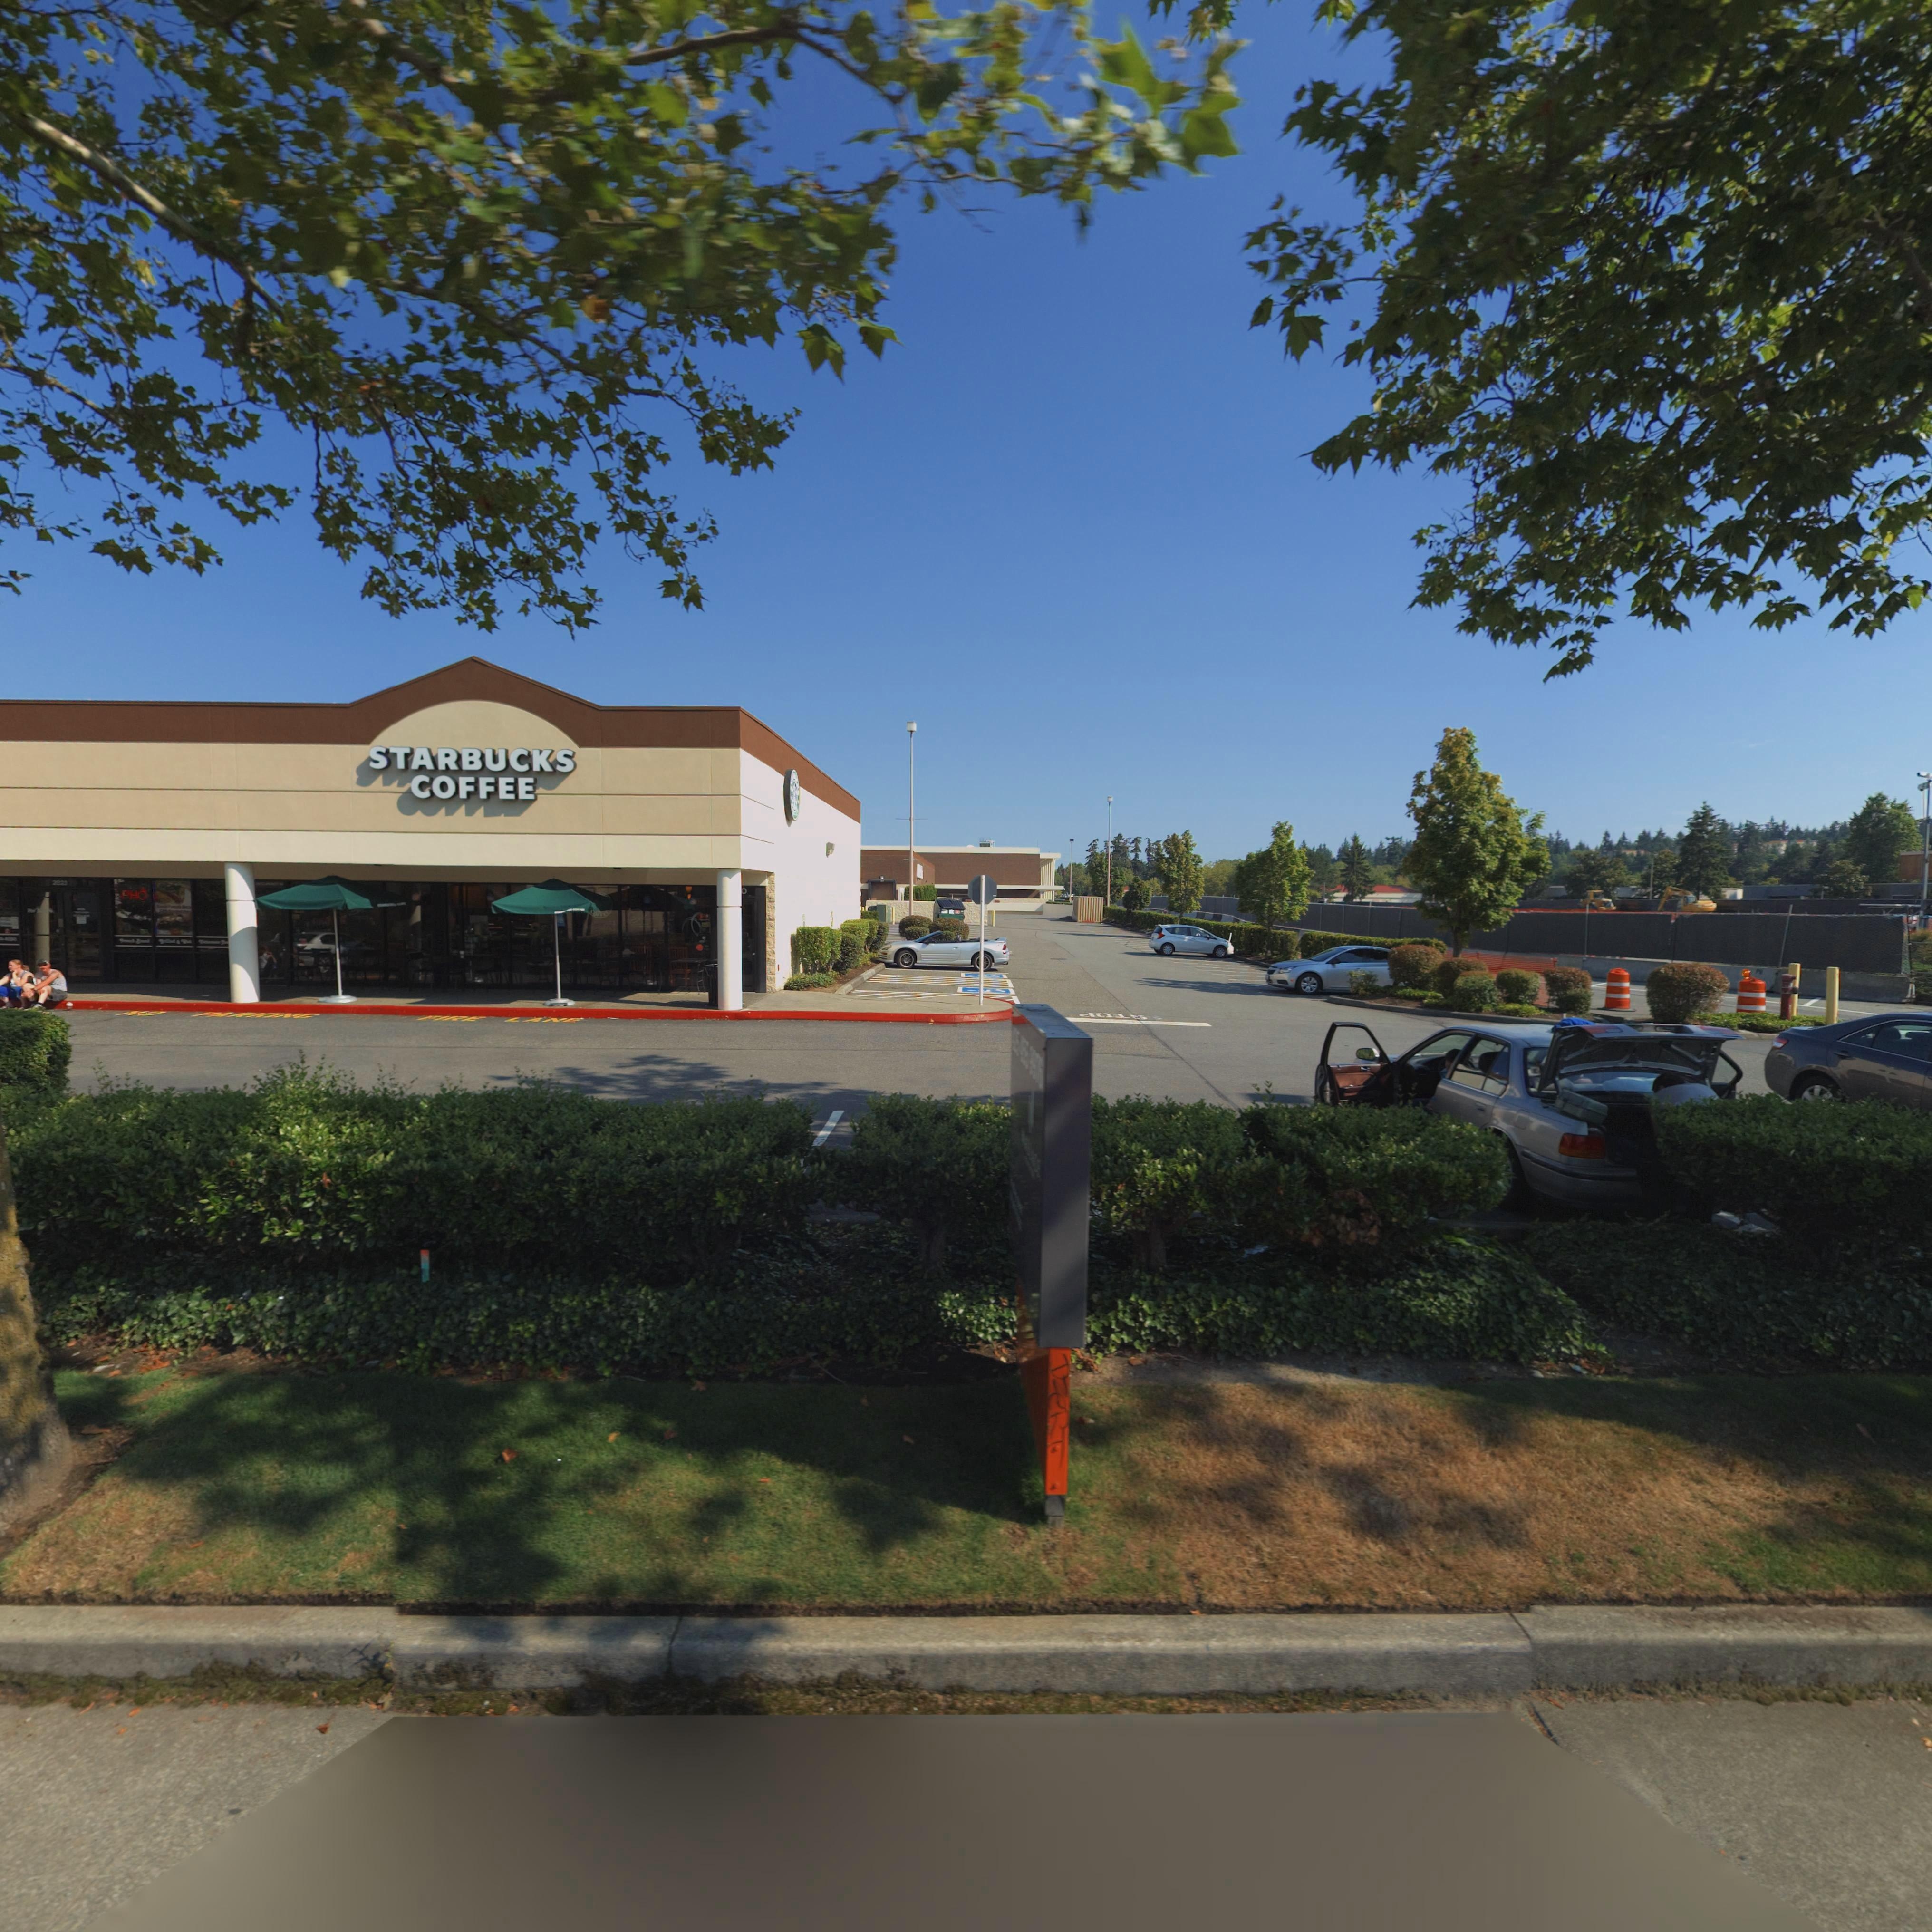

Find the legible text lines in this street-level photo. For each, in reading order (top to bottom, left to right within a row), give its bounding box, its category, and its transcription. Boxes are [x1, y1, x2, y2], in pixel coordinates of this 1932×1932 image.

[369, 747, 573, 772] BusinessName: STARBUCKS
[409, 774, 536, 801] BusinessName: COFFEE